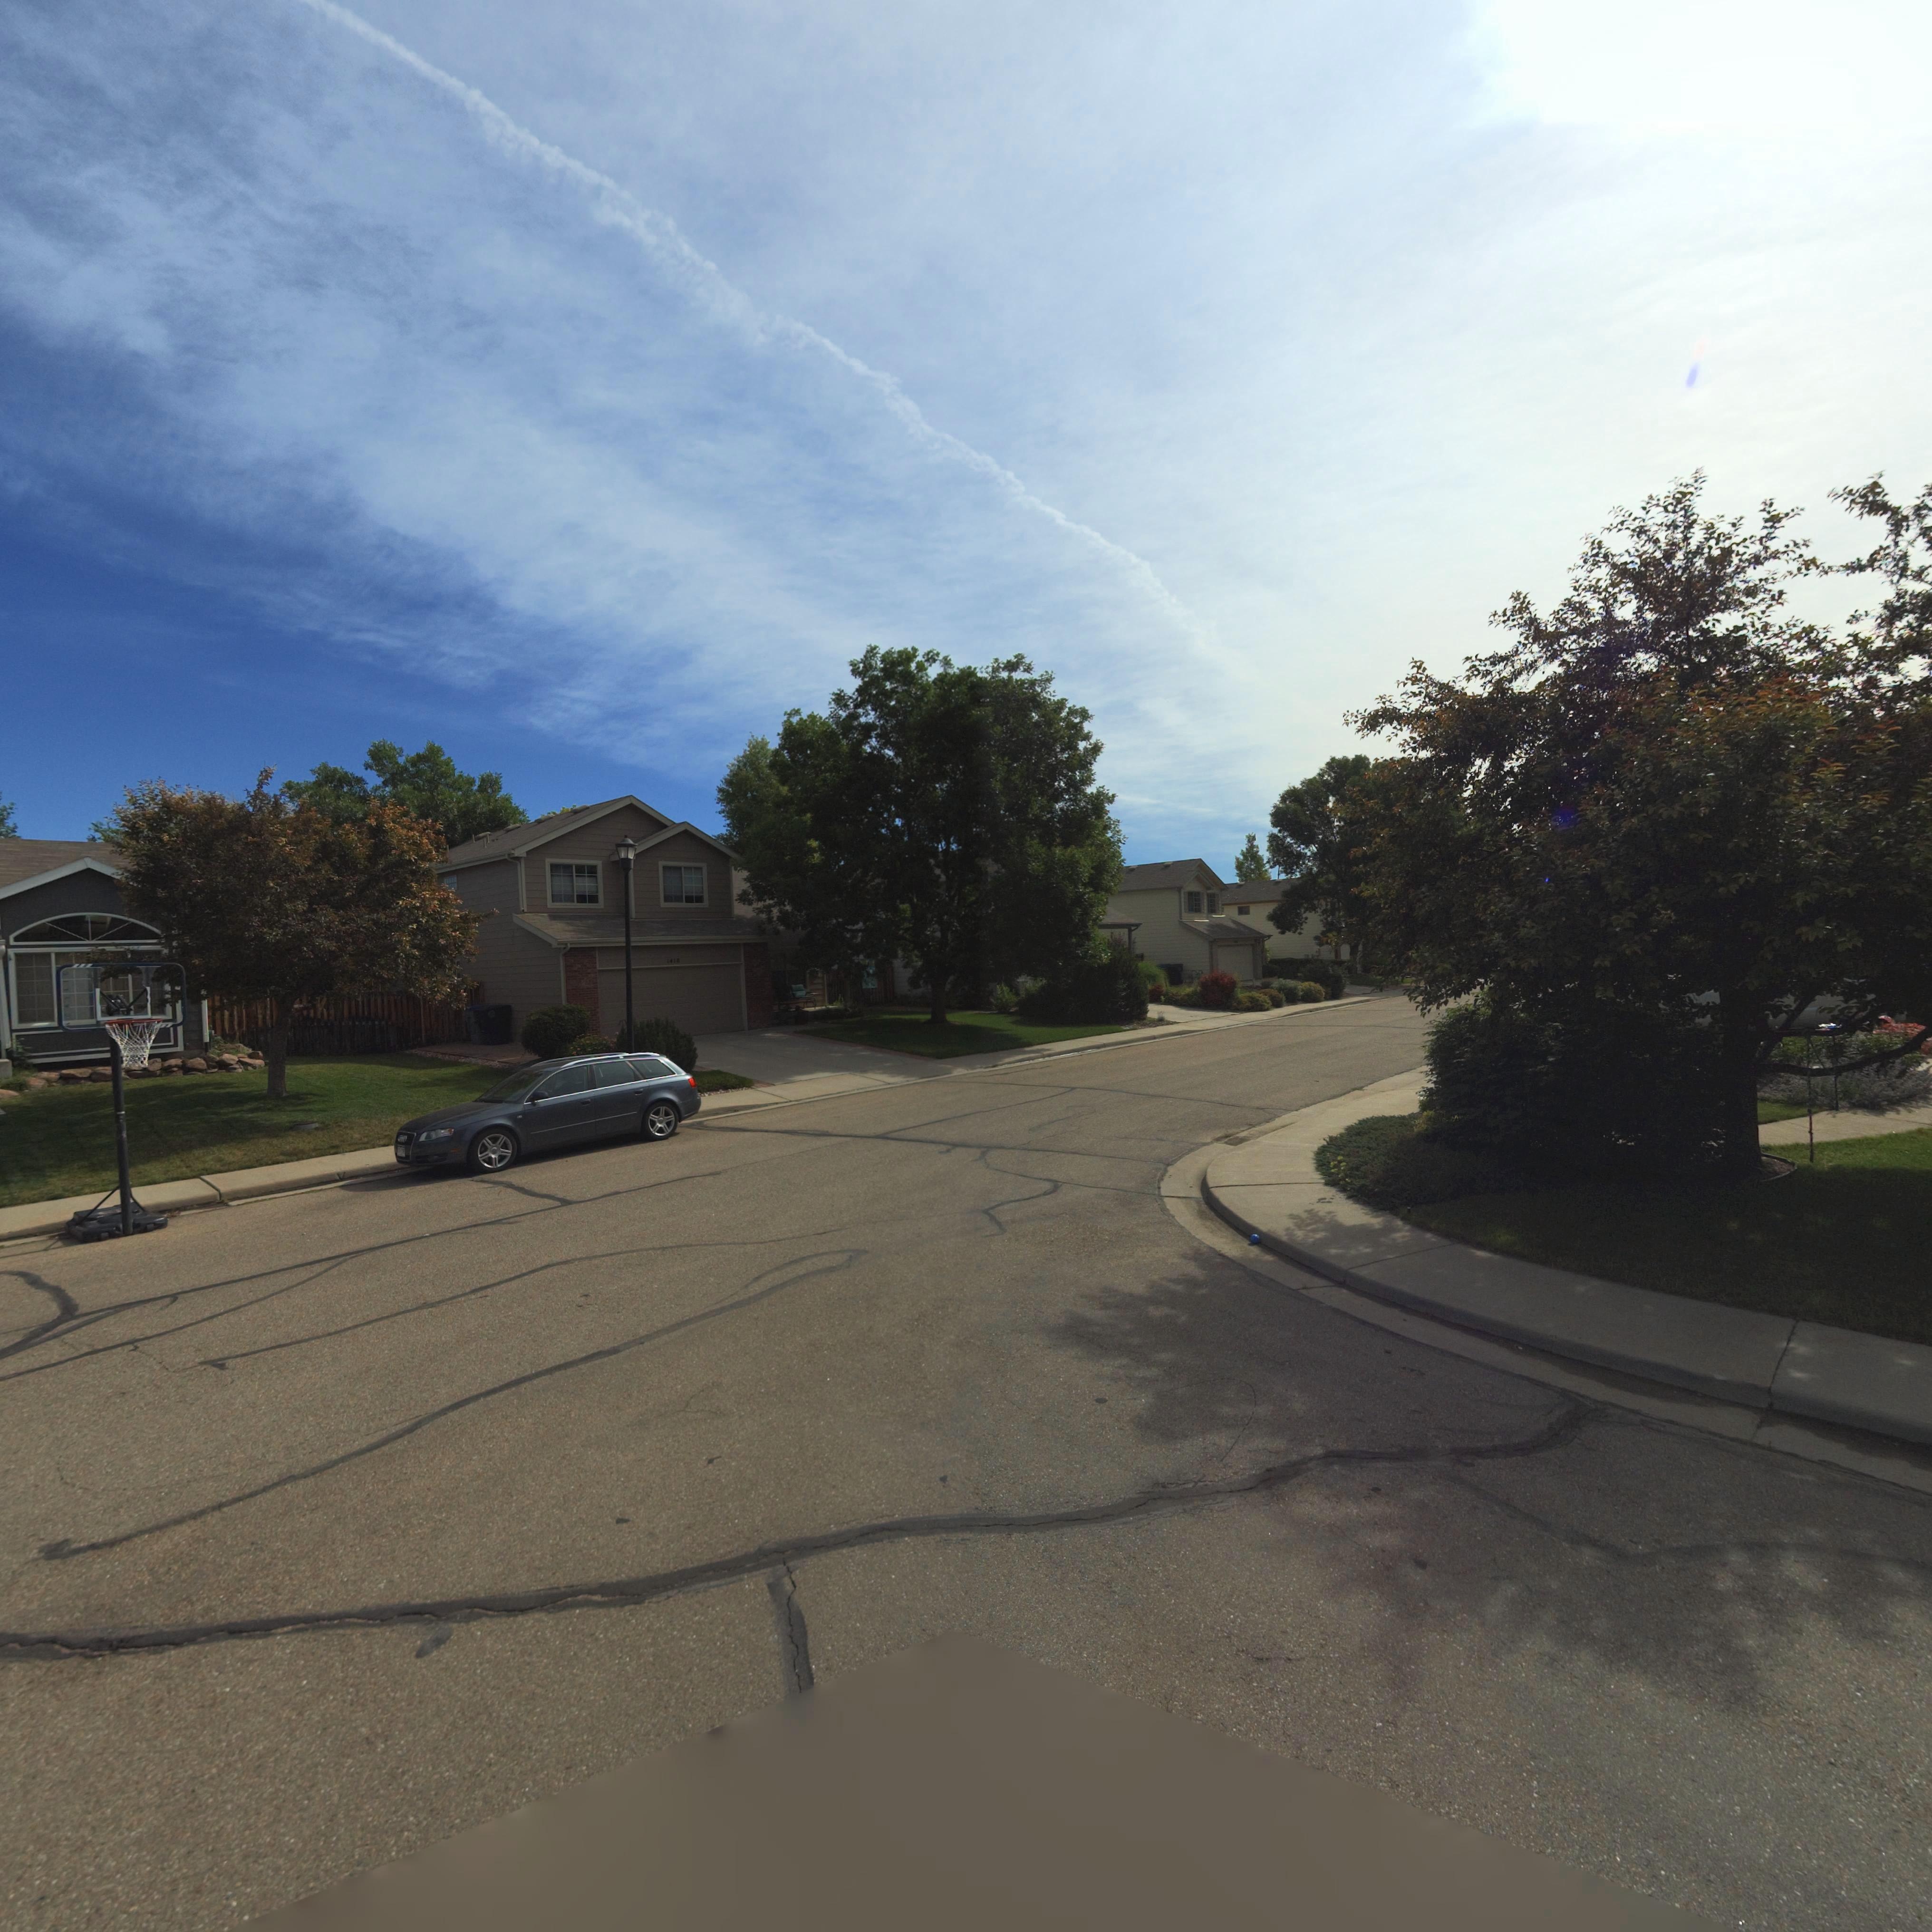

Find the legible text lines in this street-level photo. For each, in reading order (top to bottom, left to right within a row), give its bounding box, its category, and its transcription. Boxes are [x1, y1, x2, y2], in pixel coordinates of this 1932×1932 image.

[666, 957, 680, 964] StreetNumber: 1418